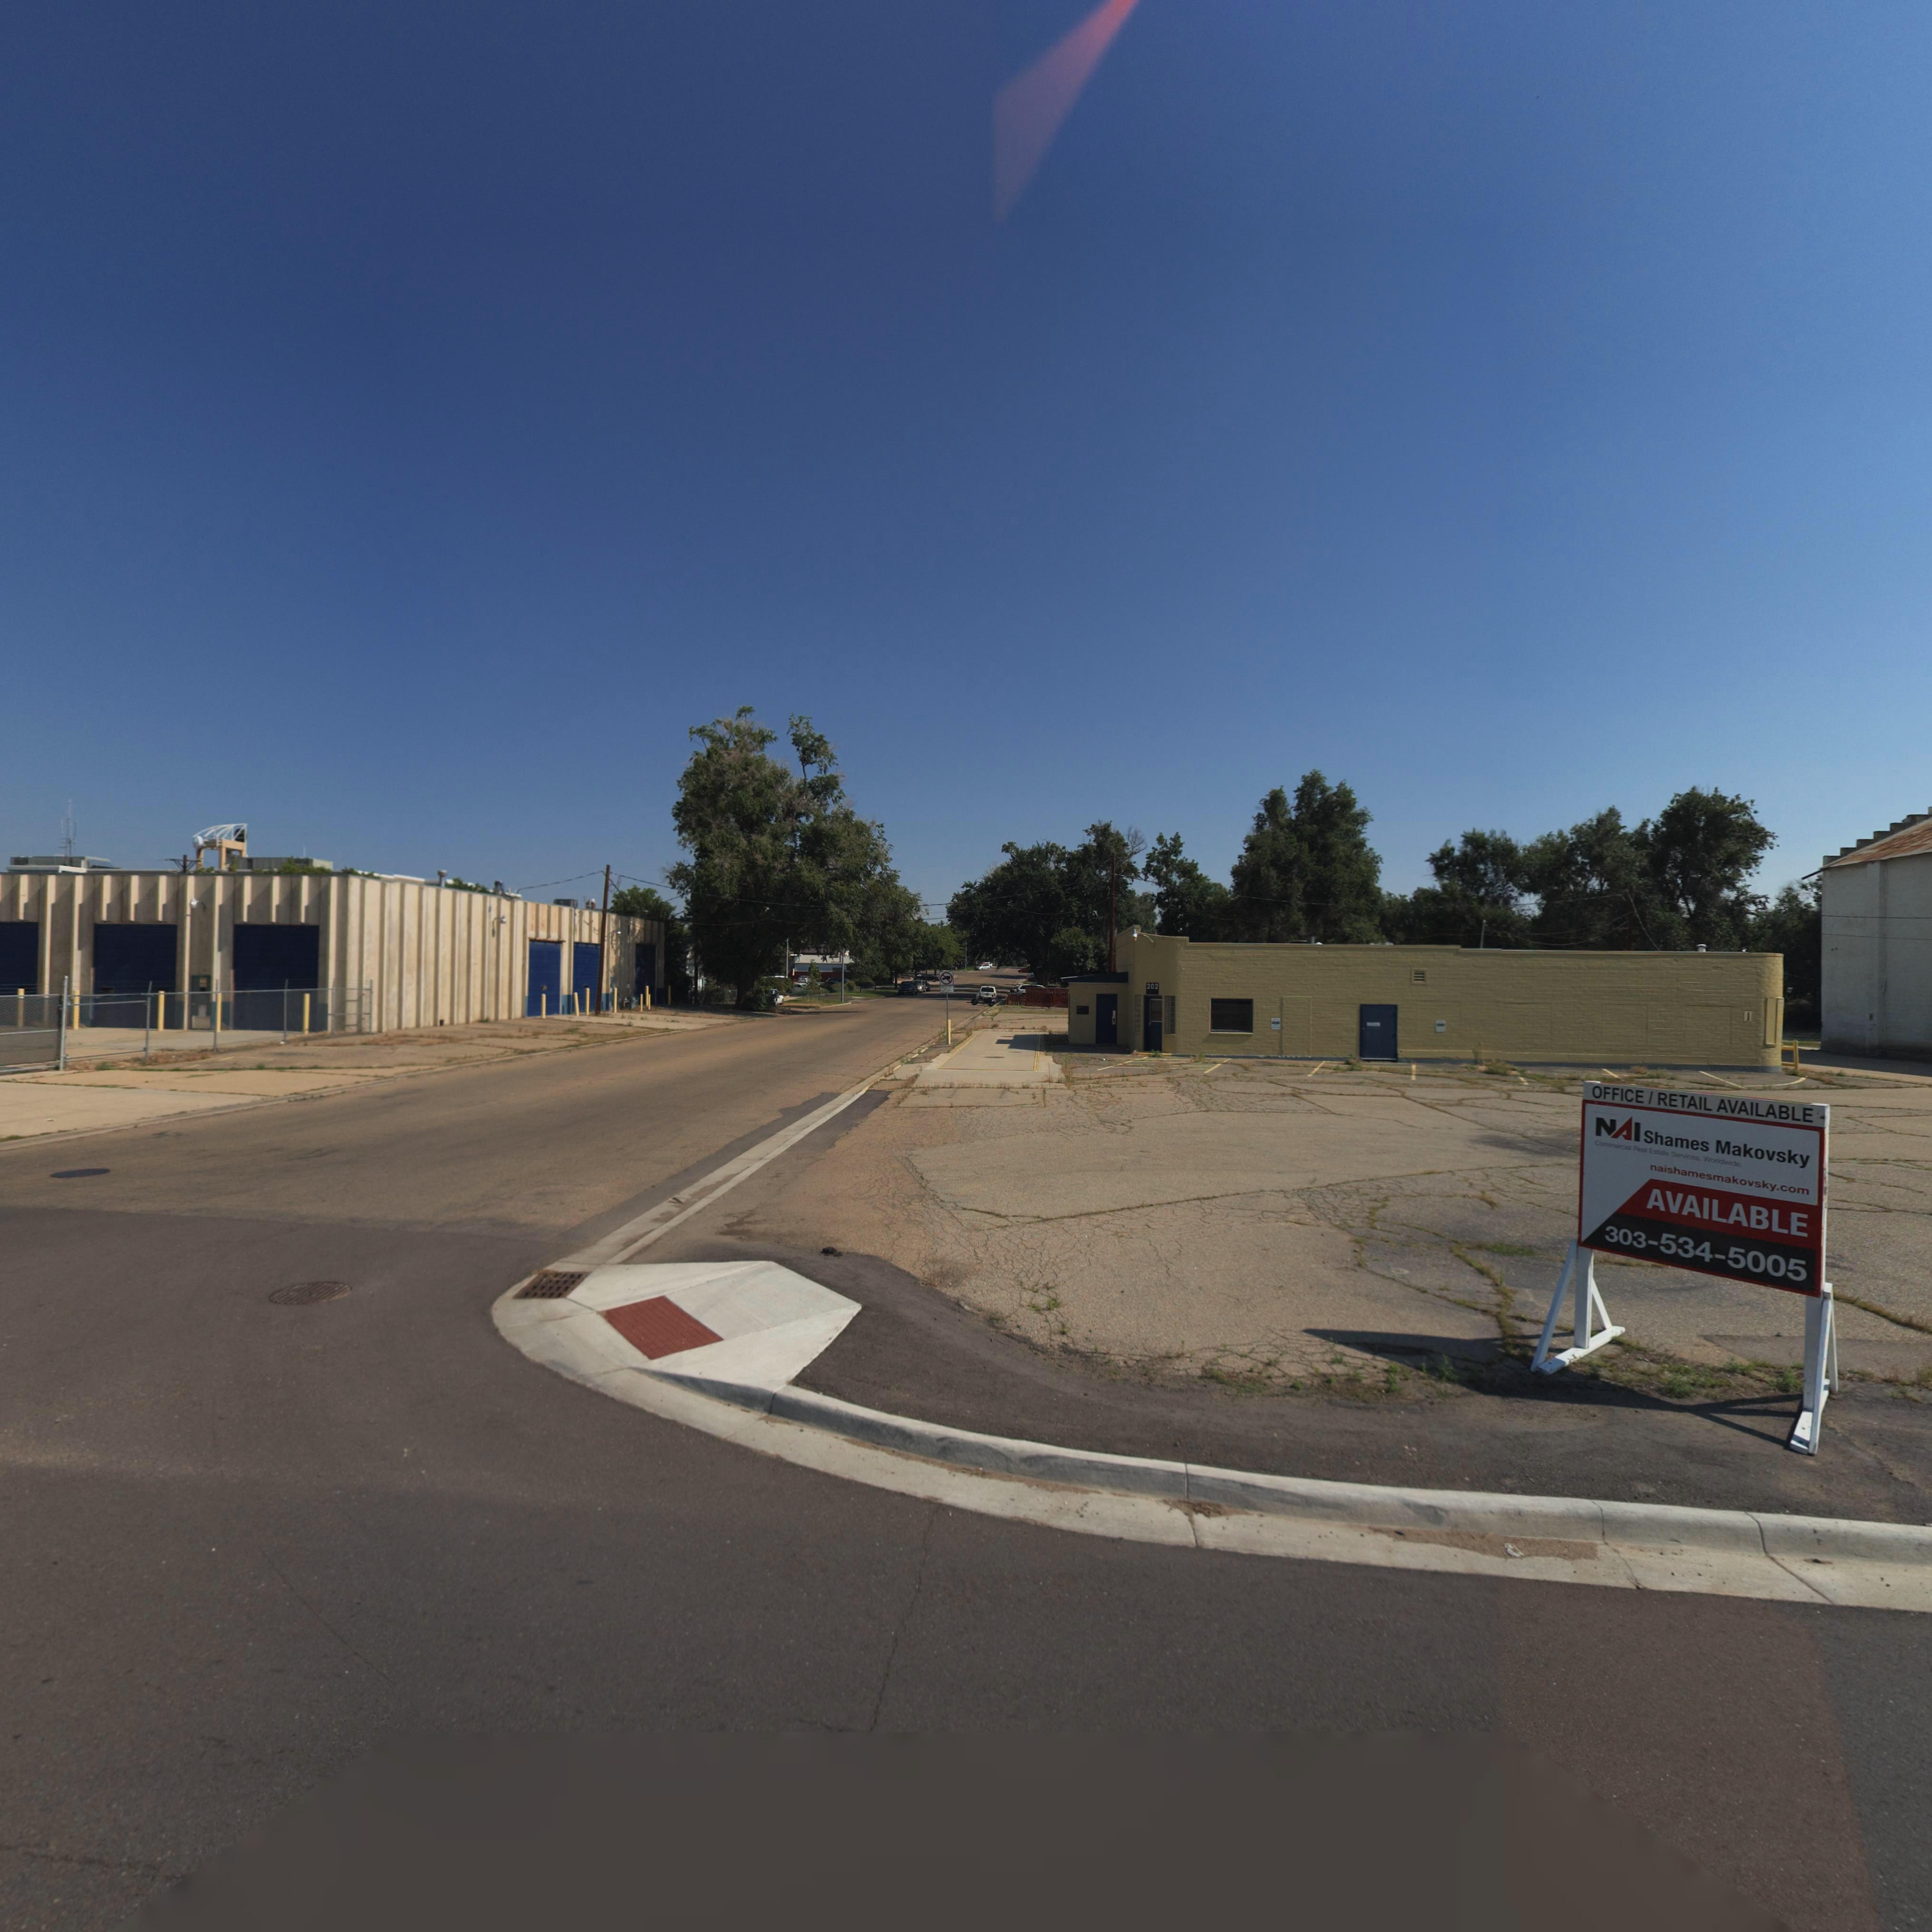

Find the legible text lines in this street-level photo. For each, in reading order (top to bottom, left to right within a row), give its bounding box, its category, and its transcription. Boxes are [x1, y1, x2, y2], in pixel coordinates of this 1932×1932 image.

[1147, 983, 1158, 989] StreetNumber: 202